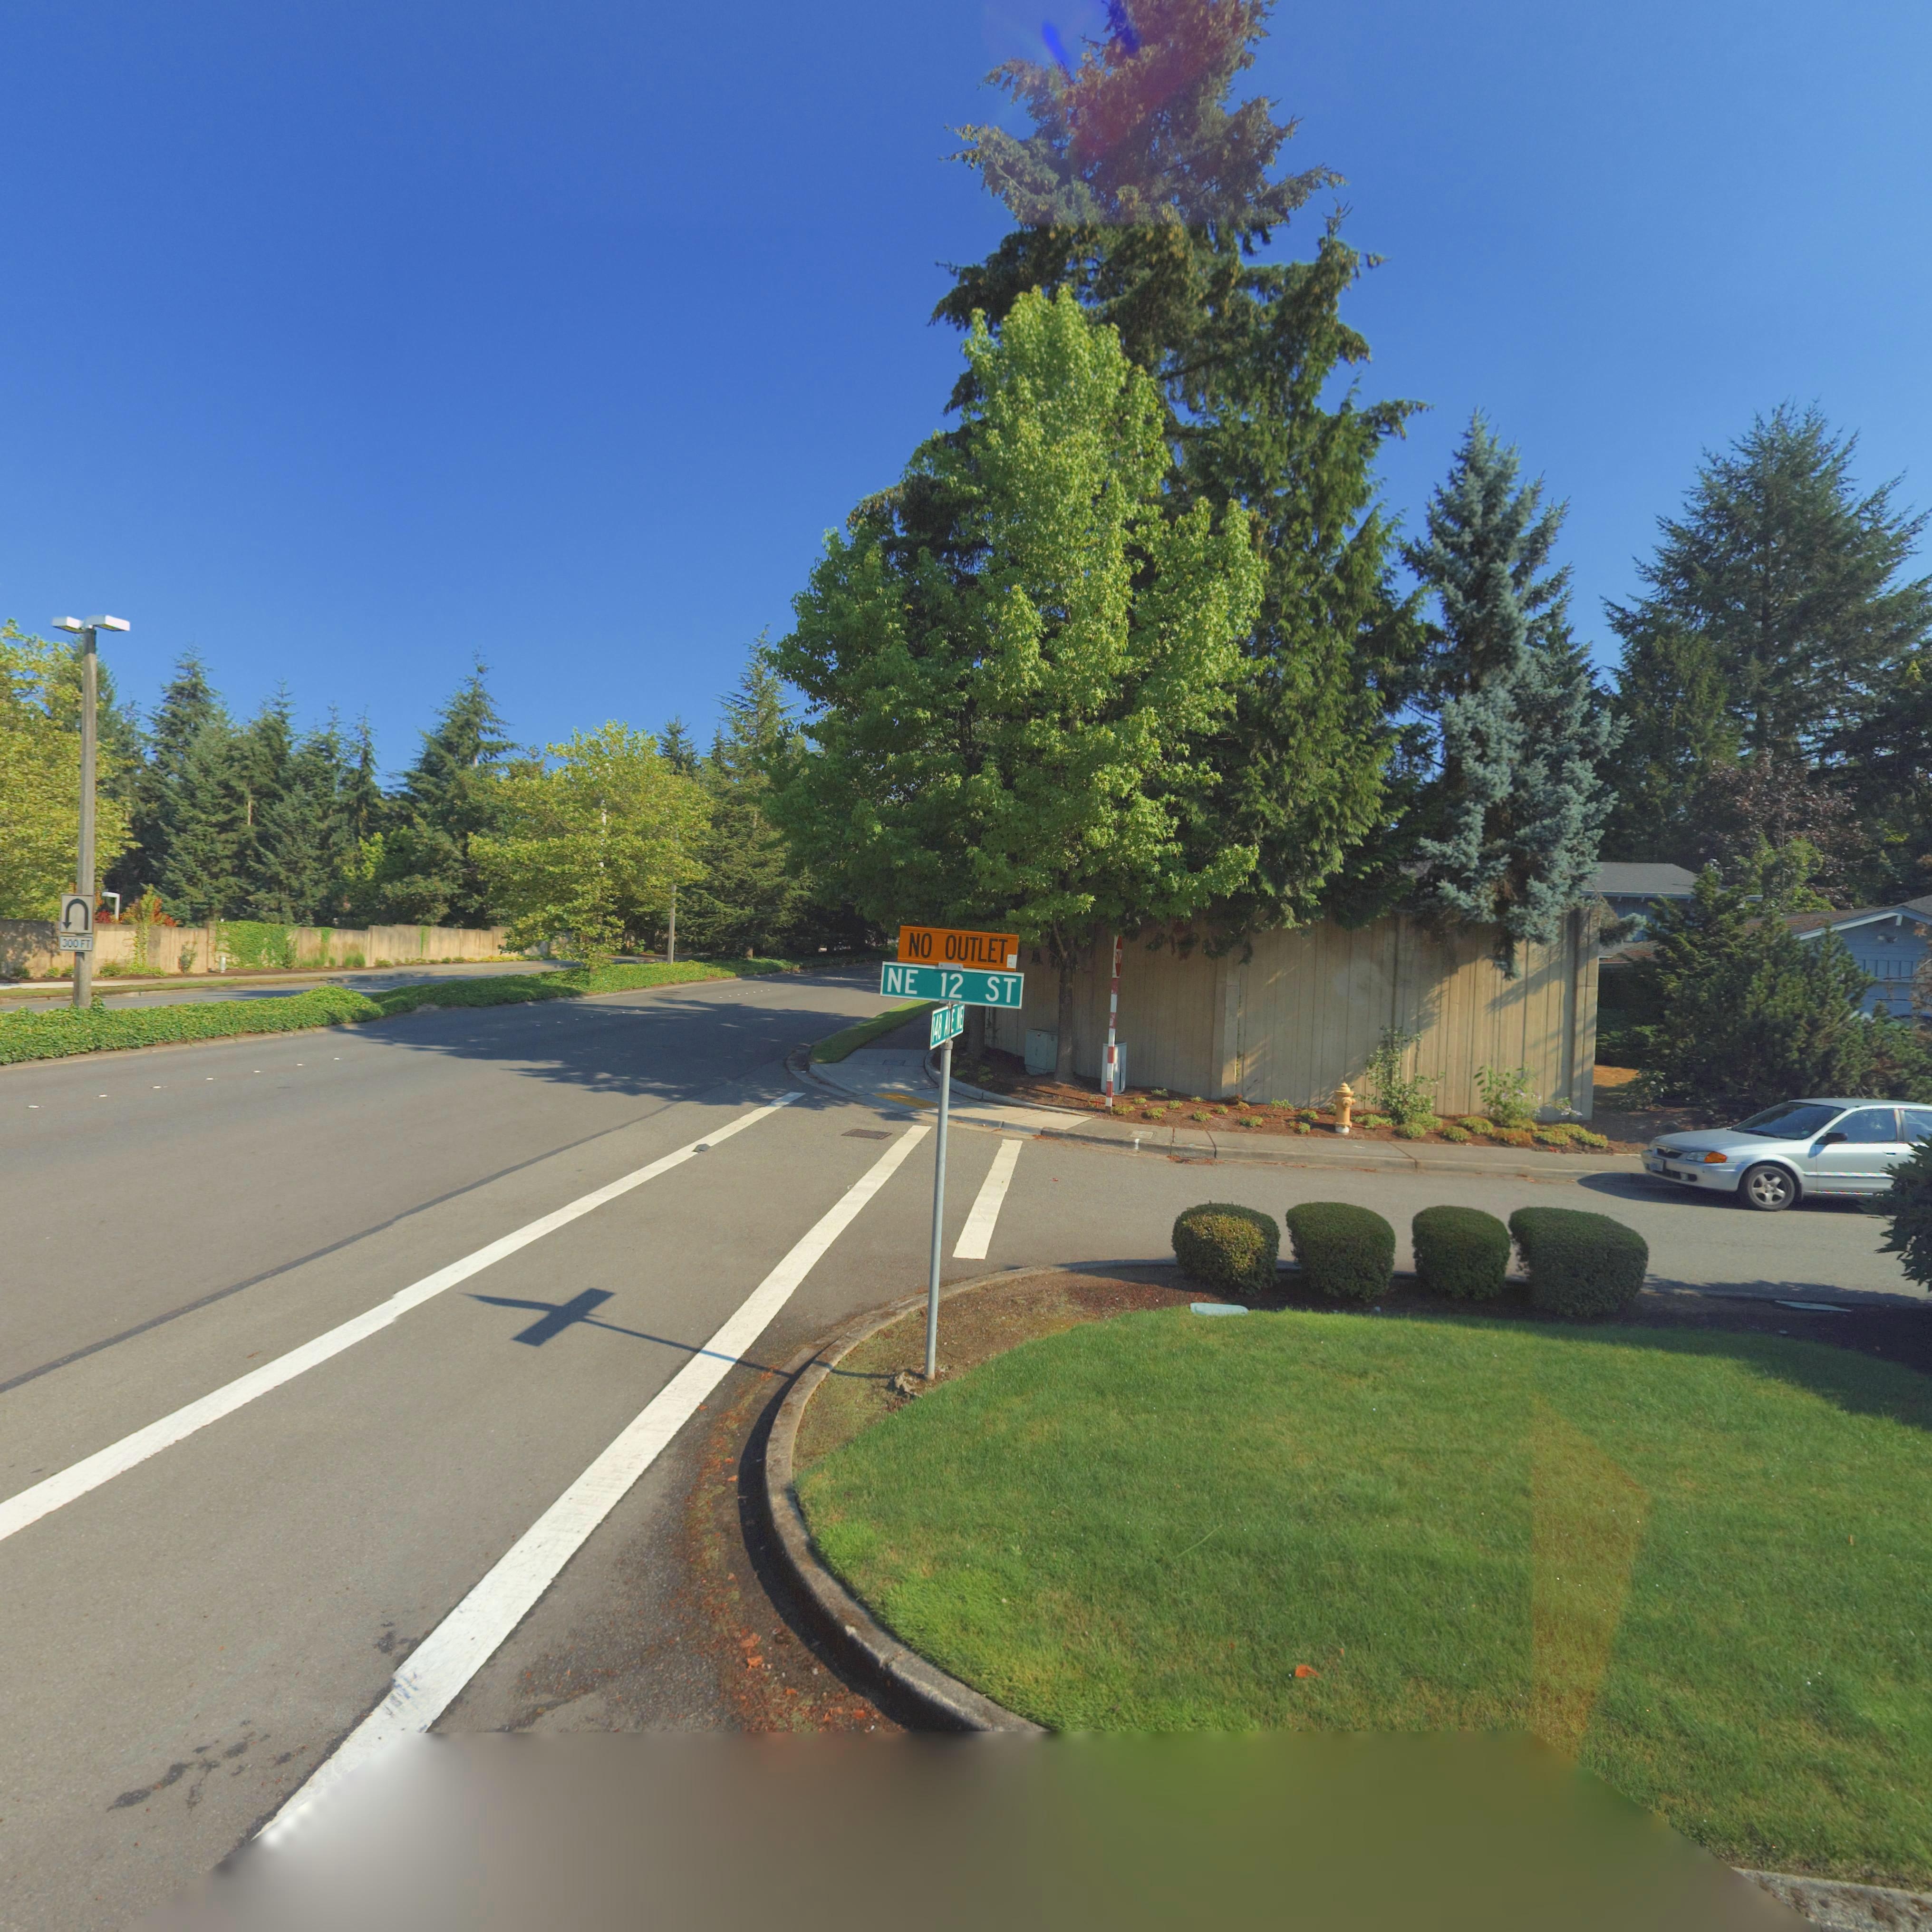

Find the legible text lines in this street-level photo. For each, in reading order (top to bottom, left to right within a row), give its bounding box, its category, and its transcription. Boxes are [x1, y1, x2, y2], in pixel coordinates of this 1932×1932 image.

[886, 967, 1017, 1004] StreetName: NE 12 ST
[932, 1005, 964, 1043] StreetName: 148 AVE NE